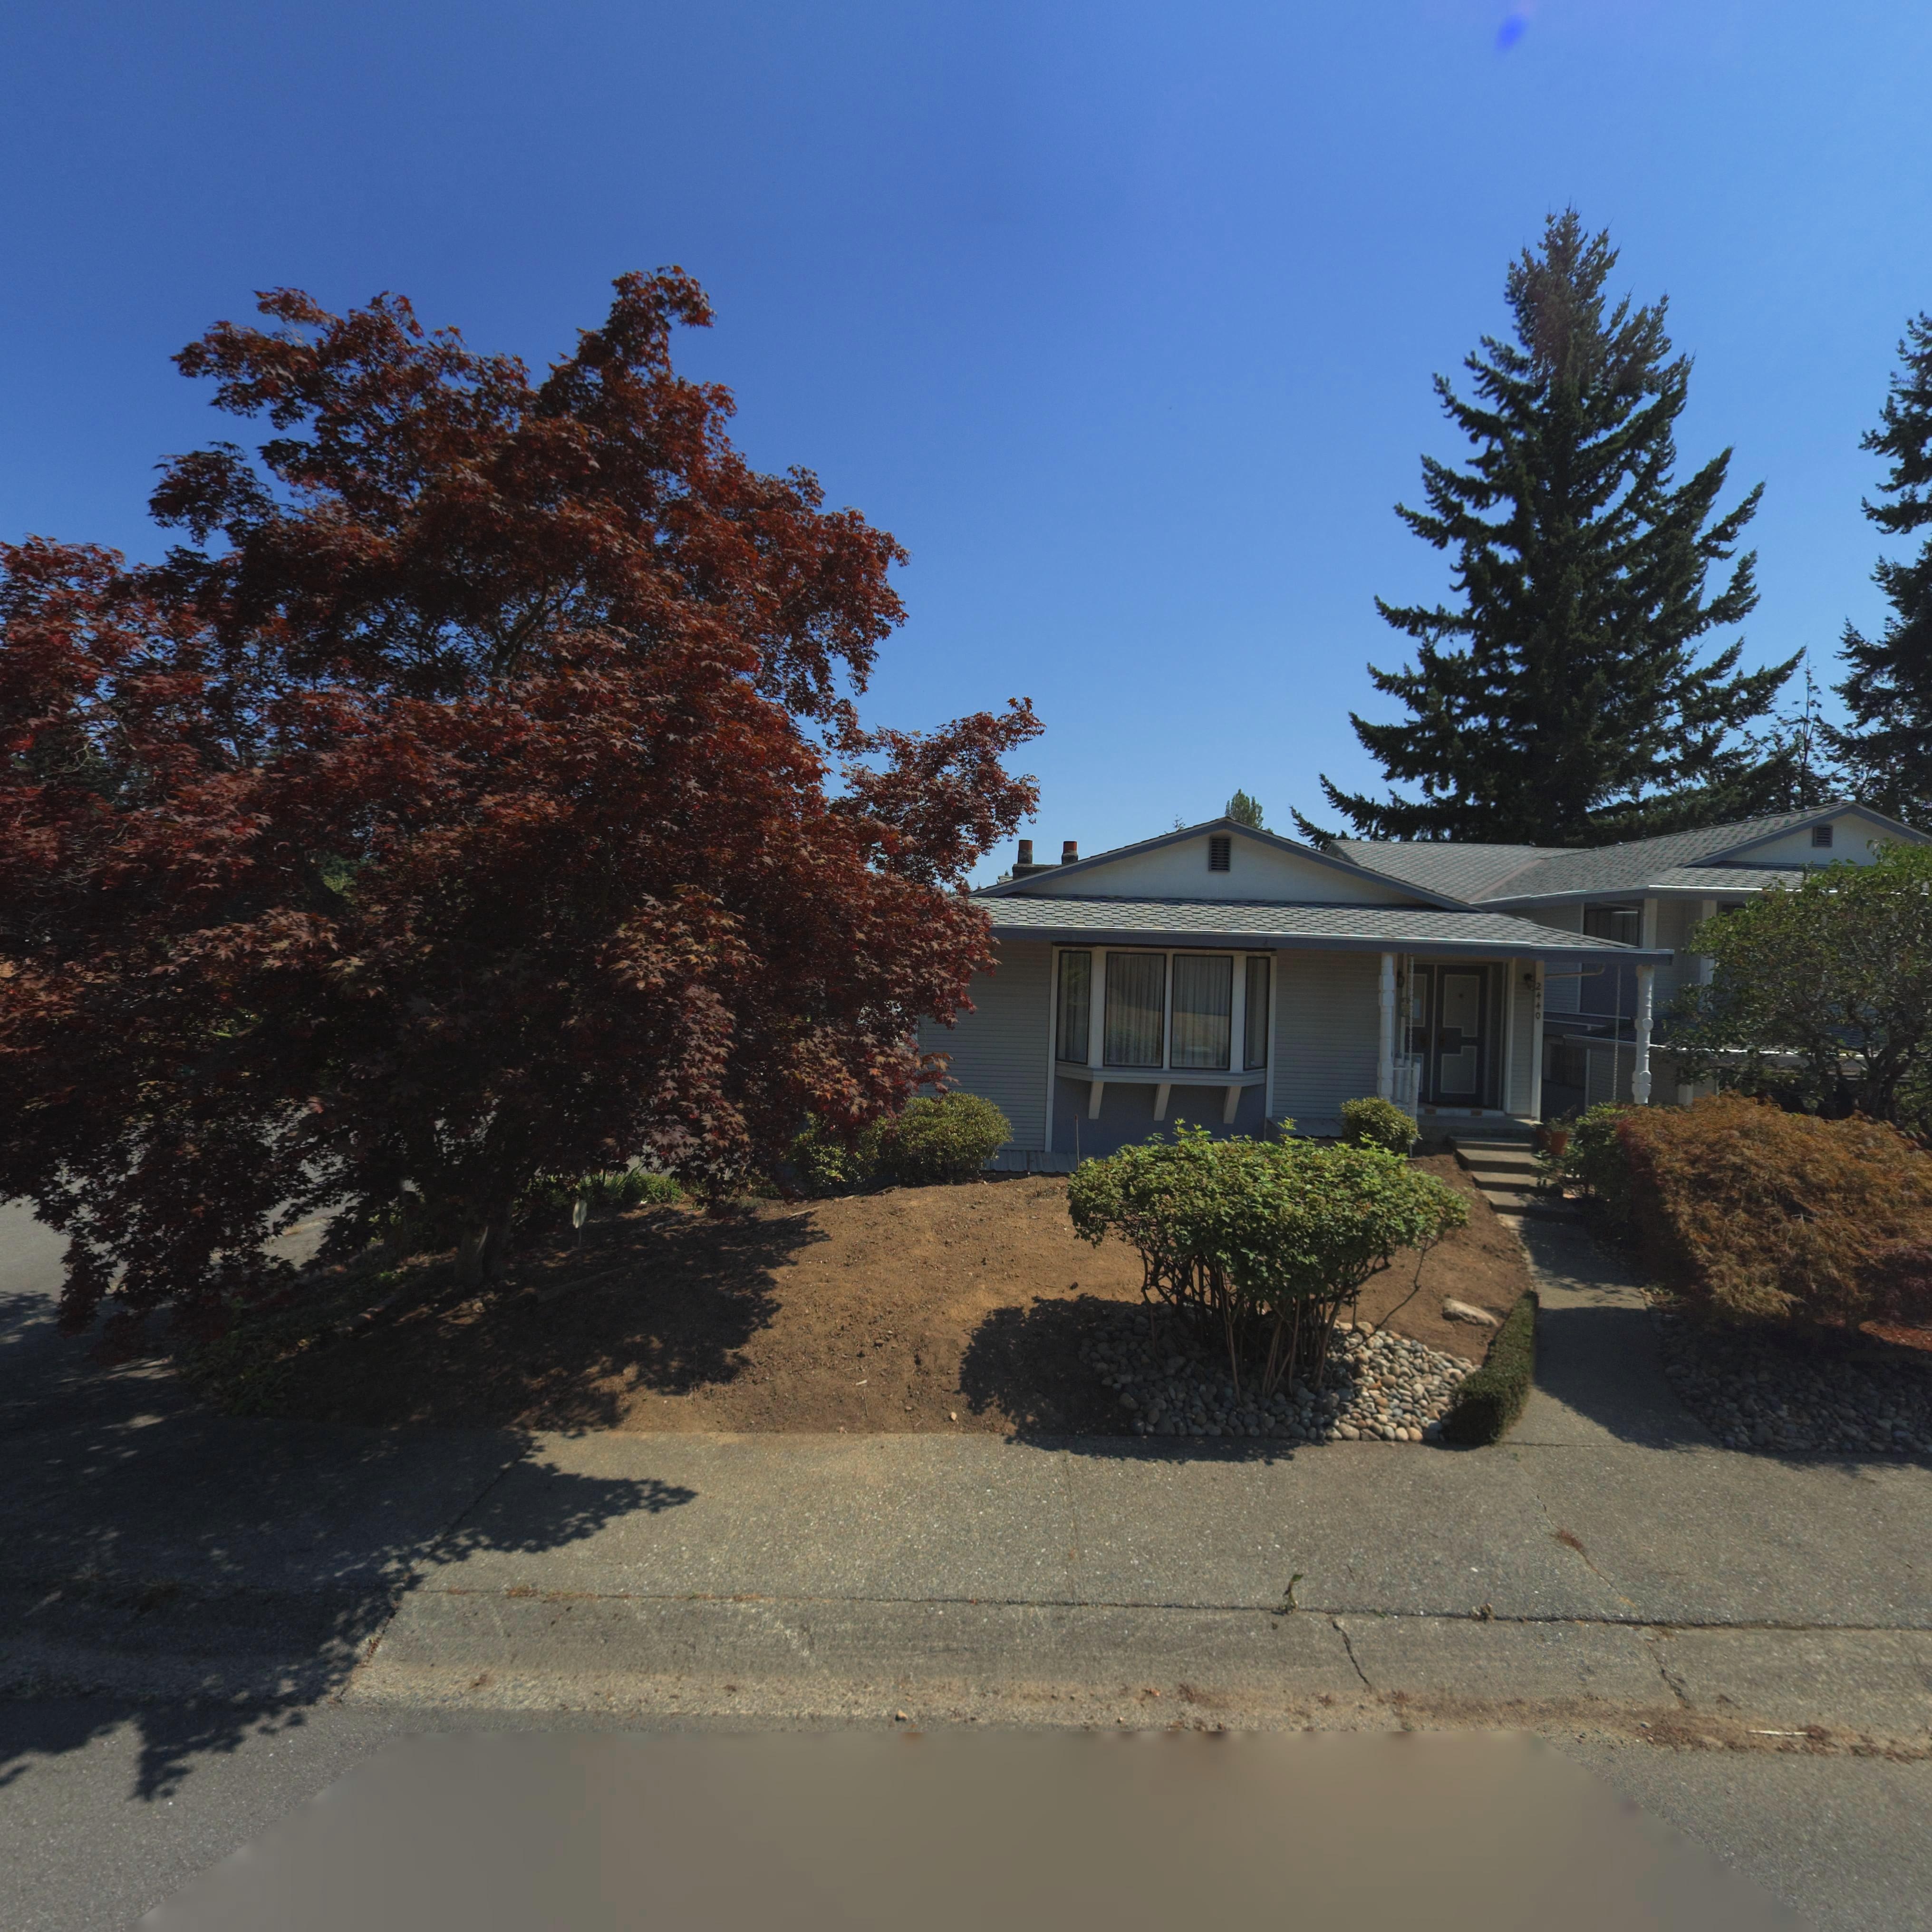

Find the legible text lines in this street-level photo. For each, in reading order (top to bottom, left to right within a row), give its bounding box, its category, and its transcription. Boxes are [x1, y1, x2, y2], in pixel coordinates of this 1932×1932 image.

[1533, 981, 1545, 1021] StreetNumber: 2440